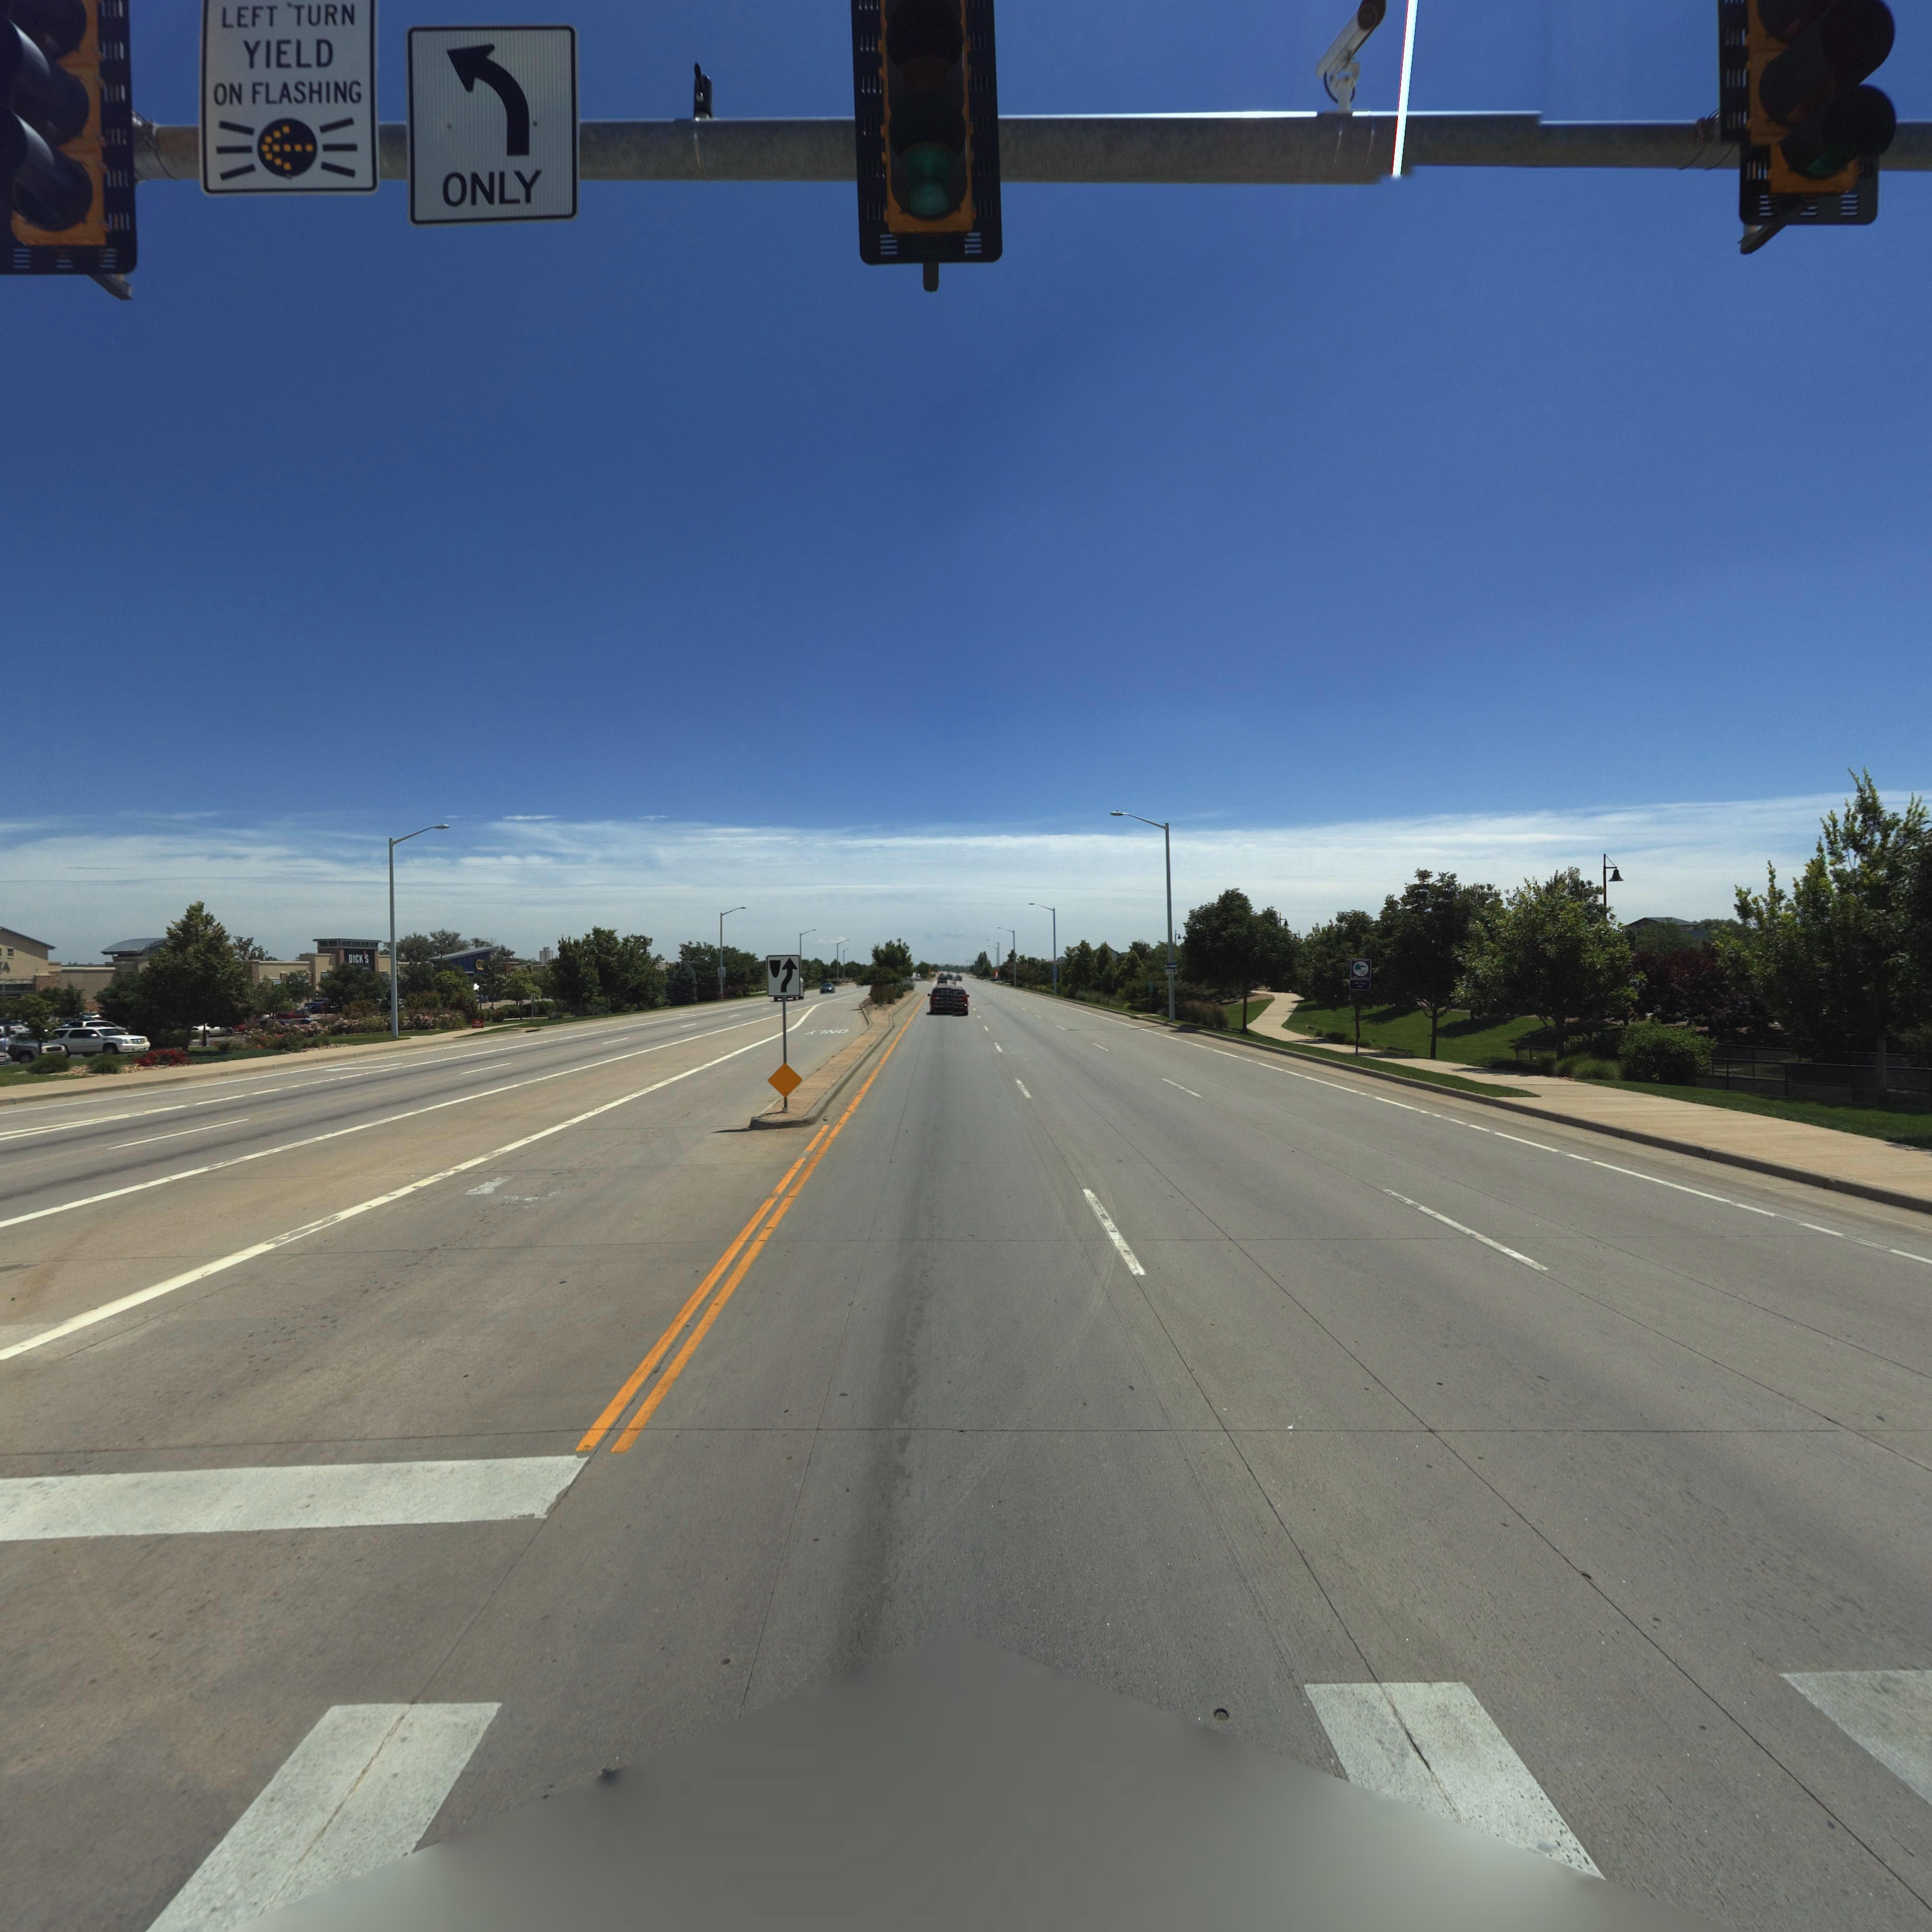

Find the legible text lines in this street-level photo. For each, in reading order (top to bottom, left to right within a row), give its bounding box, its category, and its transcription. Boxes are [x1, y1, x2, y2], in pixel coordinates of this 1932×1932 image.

[348, 954, 369, 964] BusinessName: DICK'S
[1, 961, 10, 970] BusinessName: A